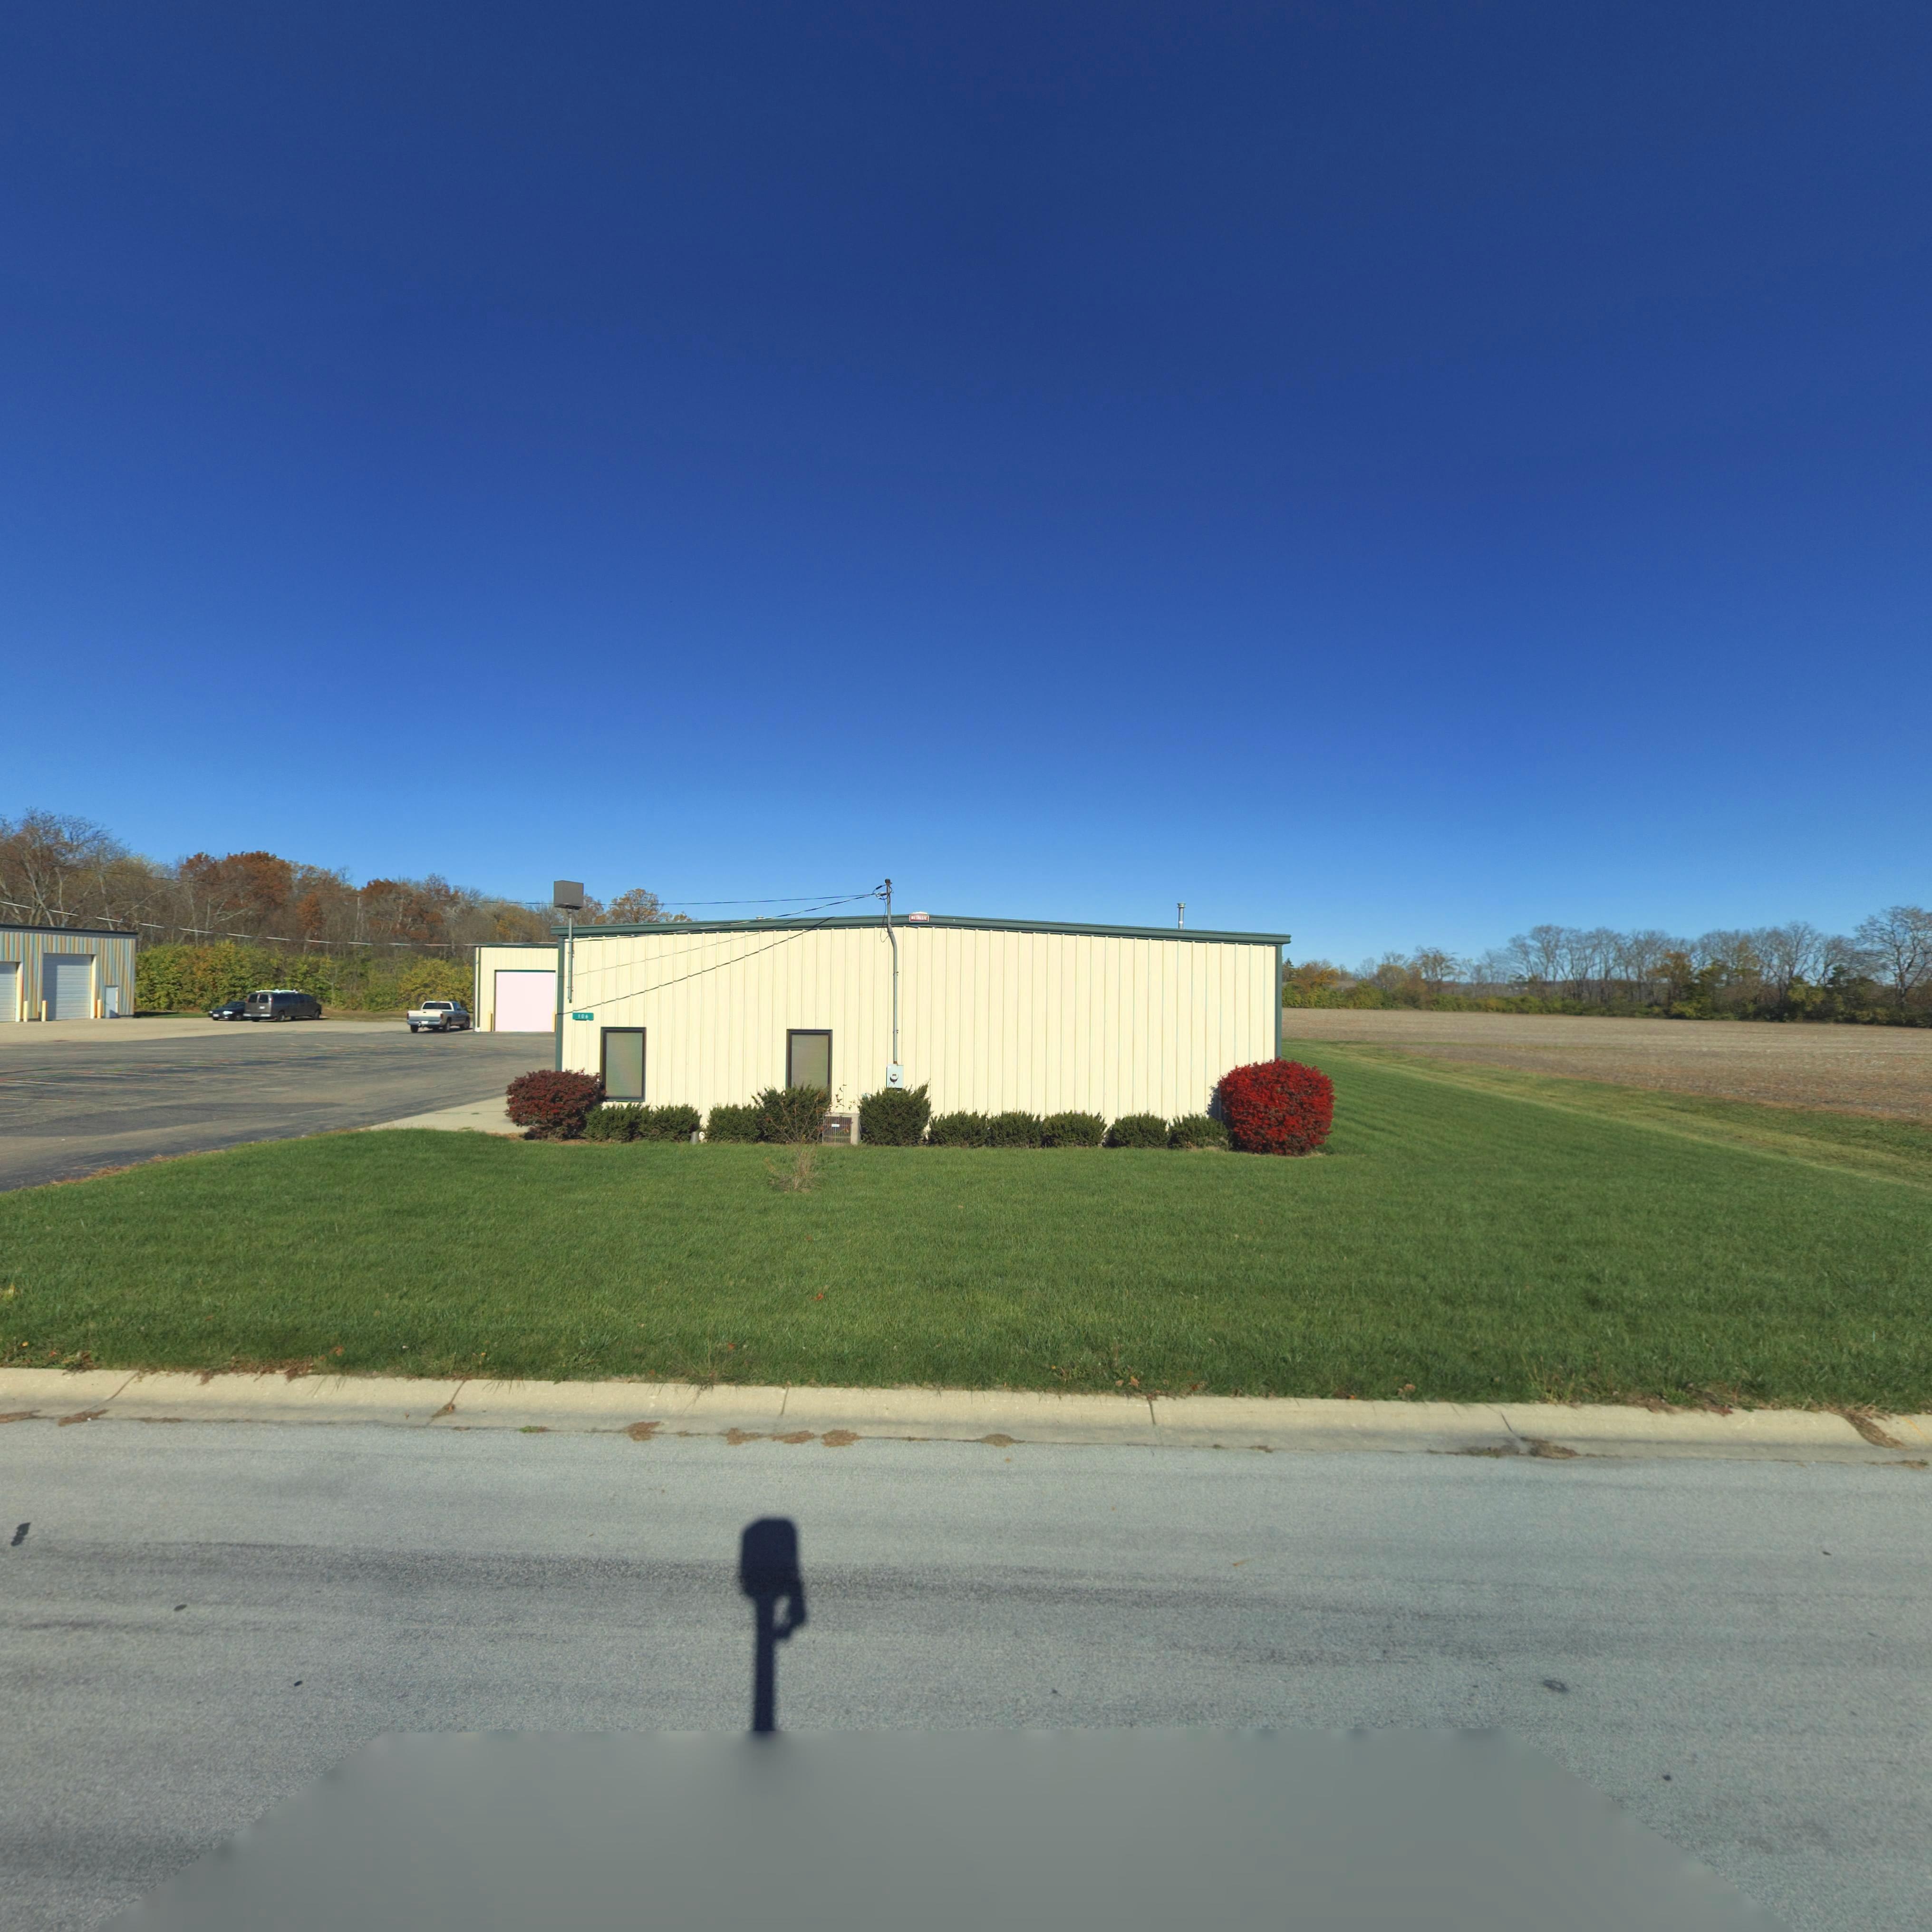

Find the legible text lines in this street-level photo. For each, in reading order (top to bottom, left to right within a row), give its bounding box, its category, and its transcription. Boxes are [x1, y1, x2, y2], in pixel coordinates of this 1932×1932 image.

[577, 1013, 589, 1020] StreetNumber: 106